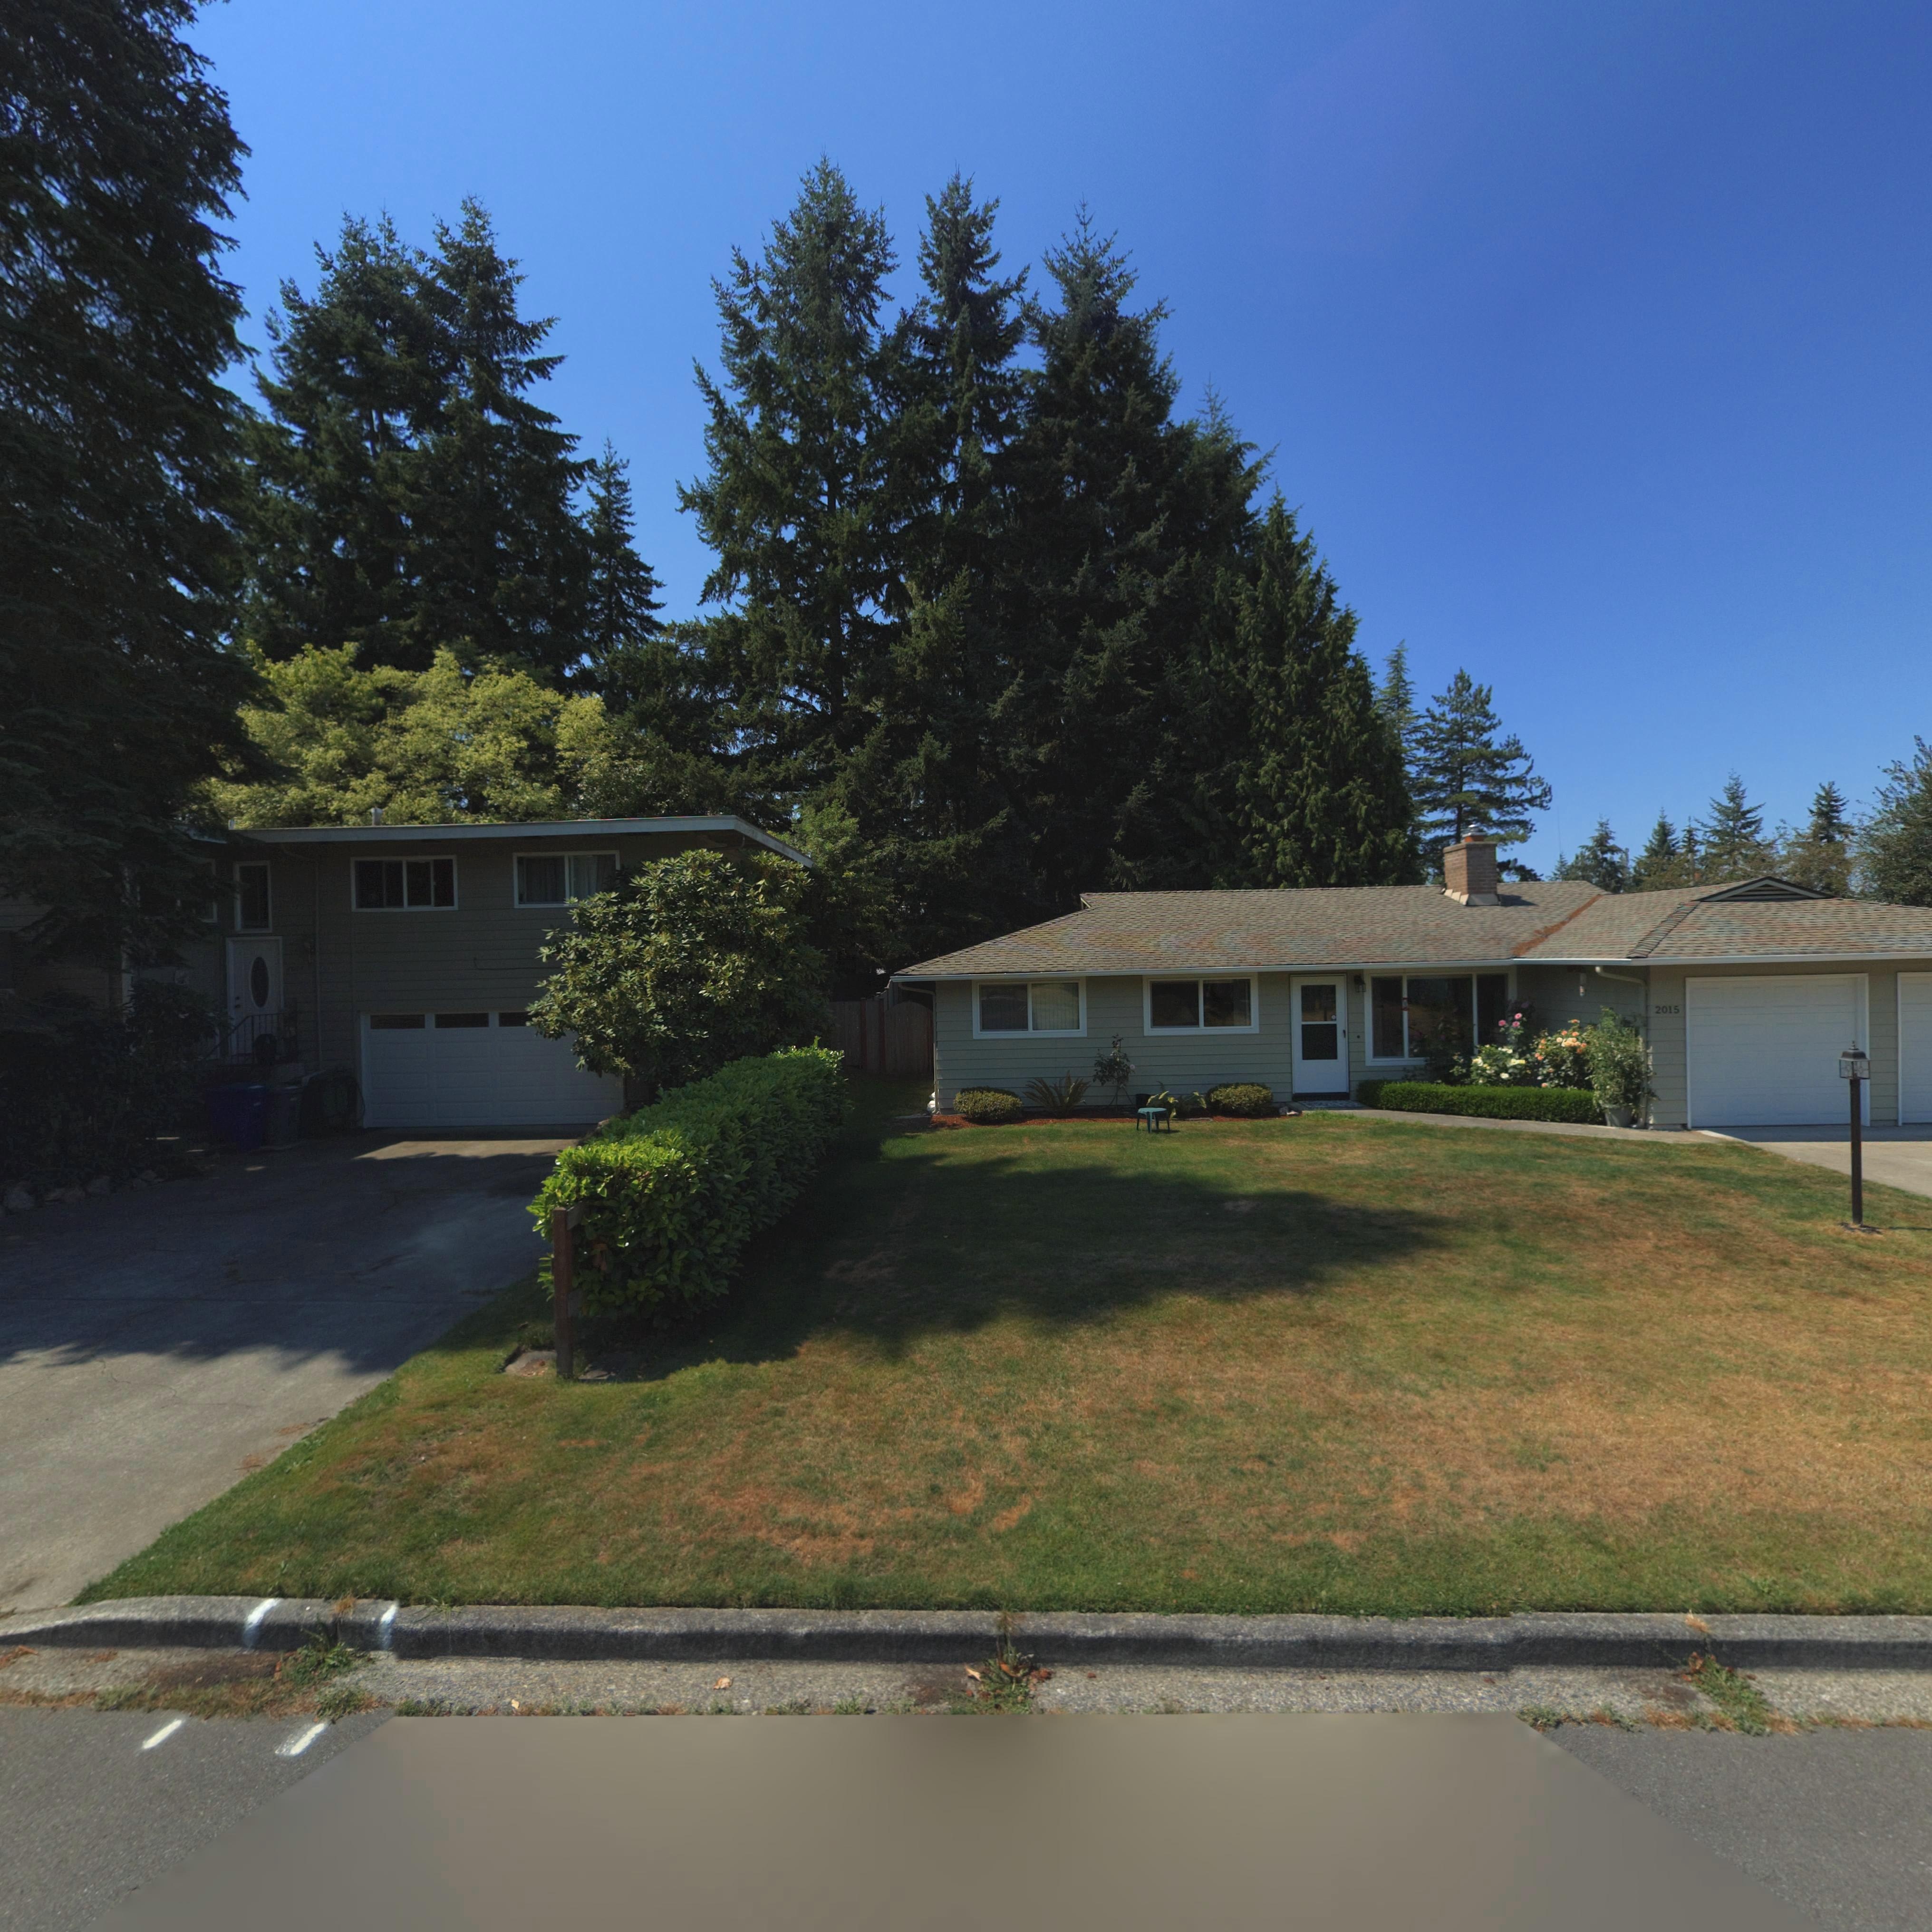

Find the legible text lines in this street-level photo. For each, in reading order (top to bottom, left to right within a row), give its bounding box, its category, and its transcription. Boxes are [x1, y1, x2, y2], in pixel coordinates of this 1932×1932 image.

[1654, 1005, 1680, 1014] StreetNumber: 2015